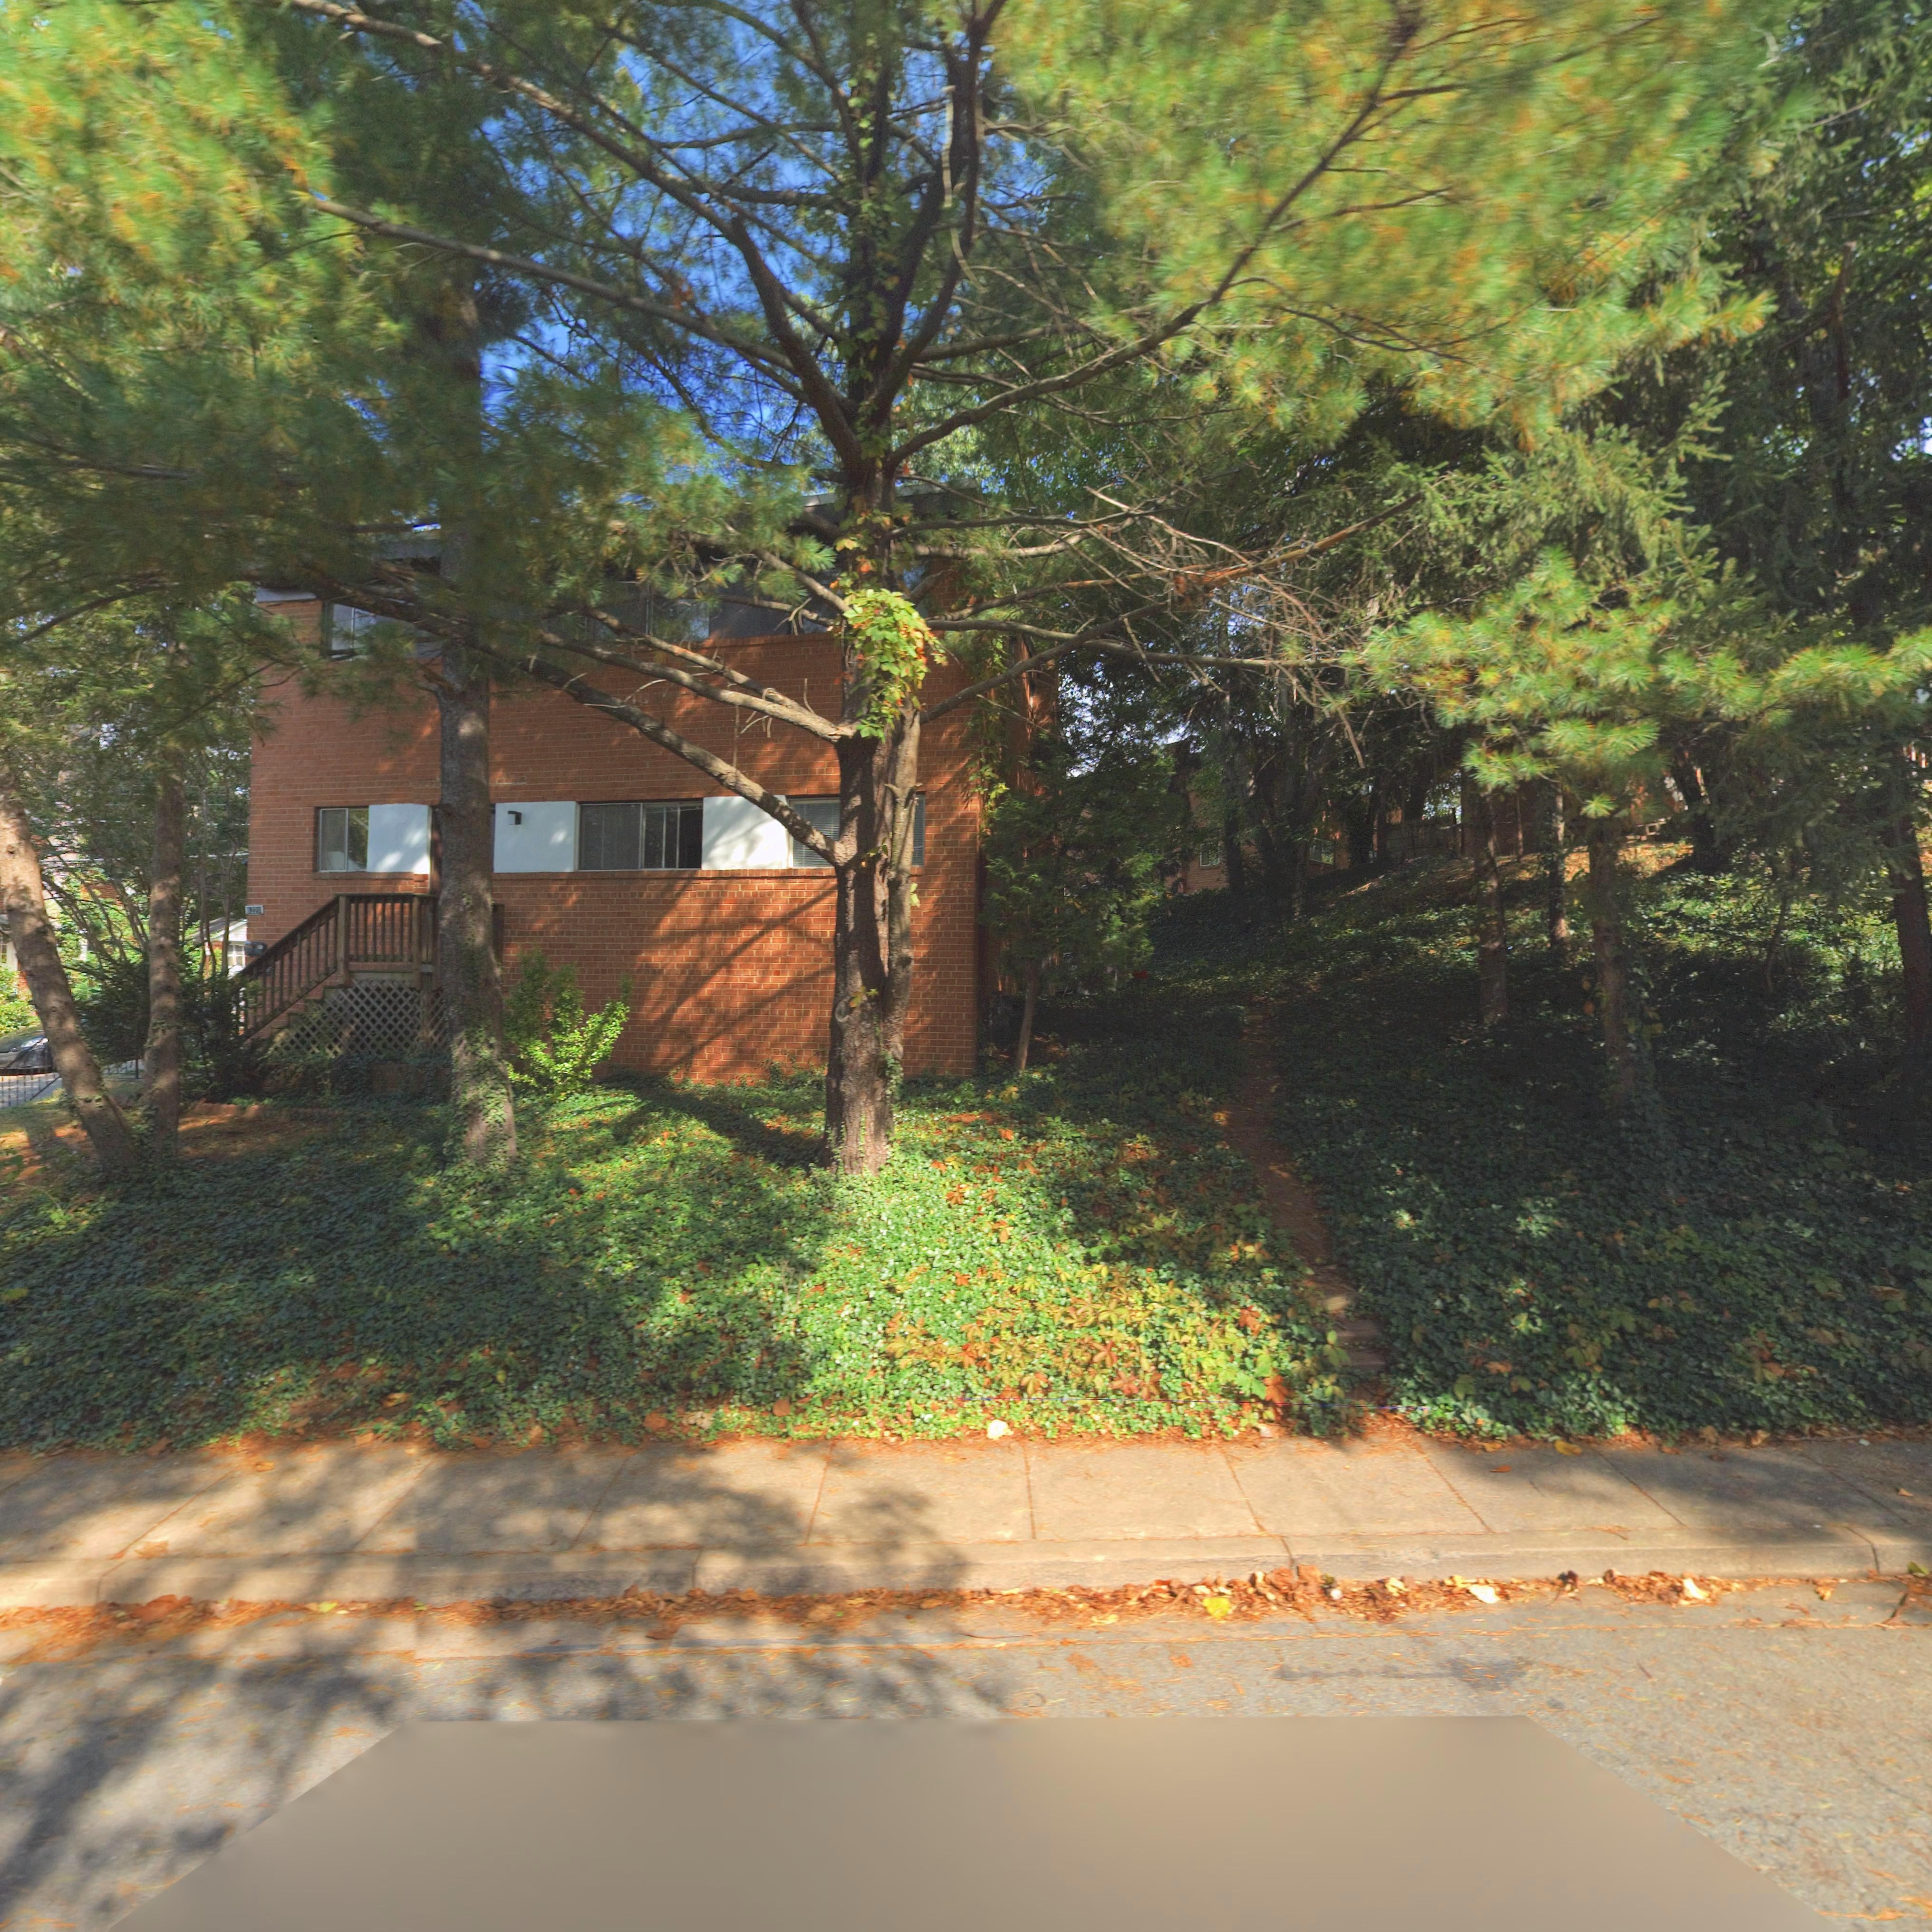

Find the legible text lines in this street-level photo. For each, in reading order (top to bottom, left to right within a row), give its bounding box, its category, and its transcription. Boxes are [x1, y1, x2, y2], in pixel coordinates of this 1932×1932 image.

[246, 907, 260, 913] StreetNumber: 1221